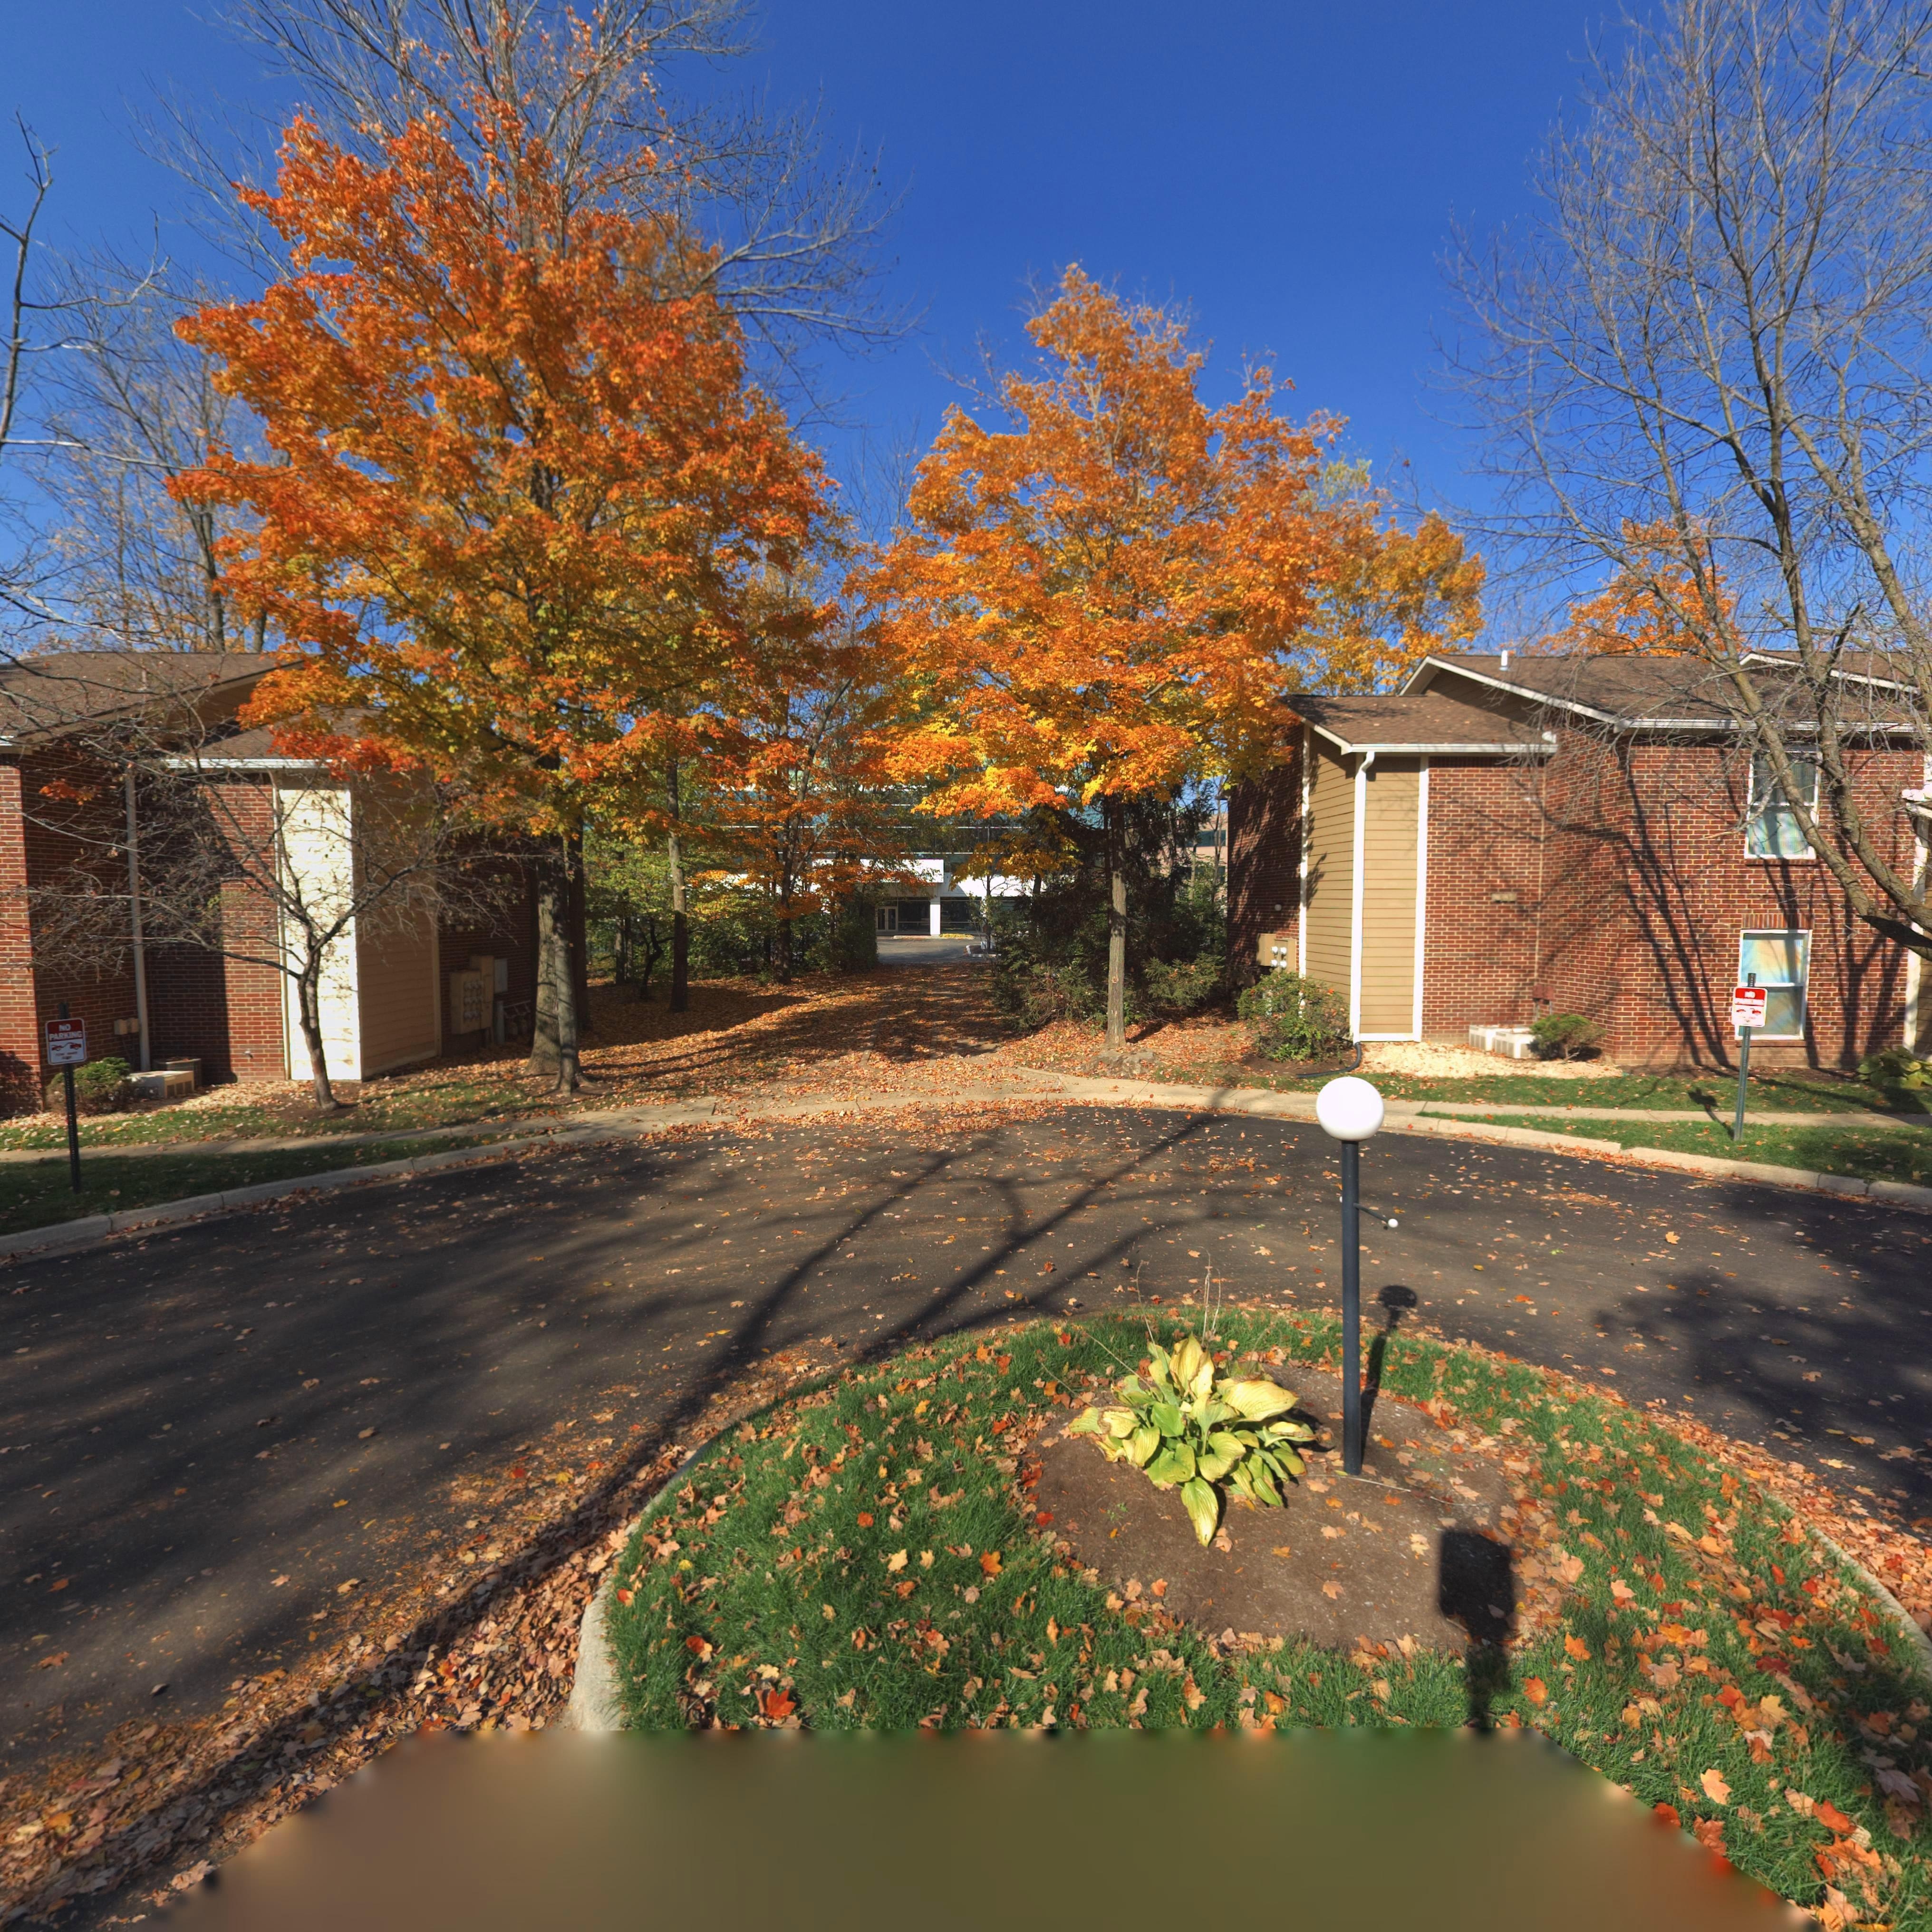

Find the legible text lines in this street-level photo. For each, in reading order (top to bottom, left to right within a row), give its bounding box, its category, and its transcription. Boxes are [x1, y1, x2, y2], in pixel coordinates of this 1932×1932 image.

[58, 1023, 72, 1032] None: *O
[47, 1030, 84, 1043] None: PARKING